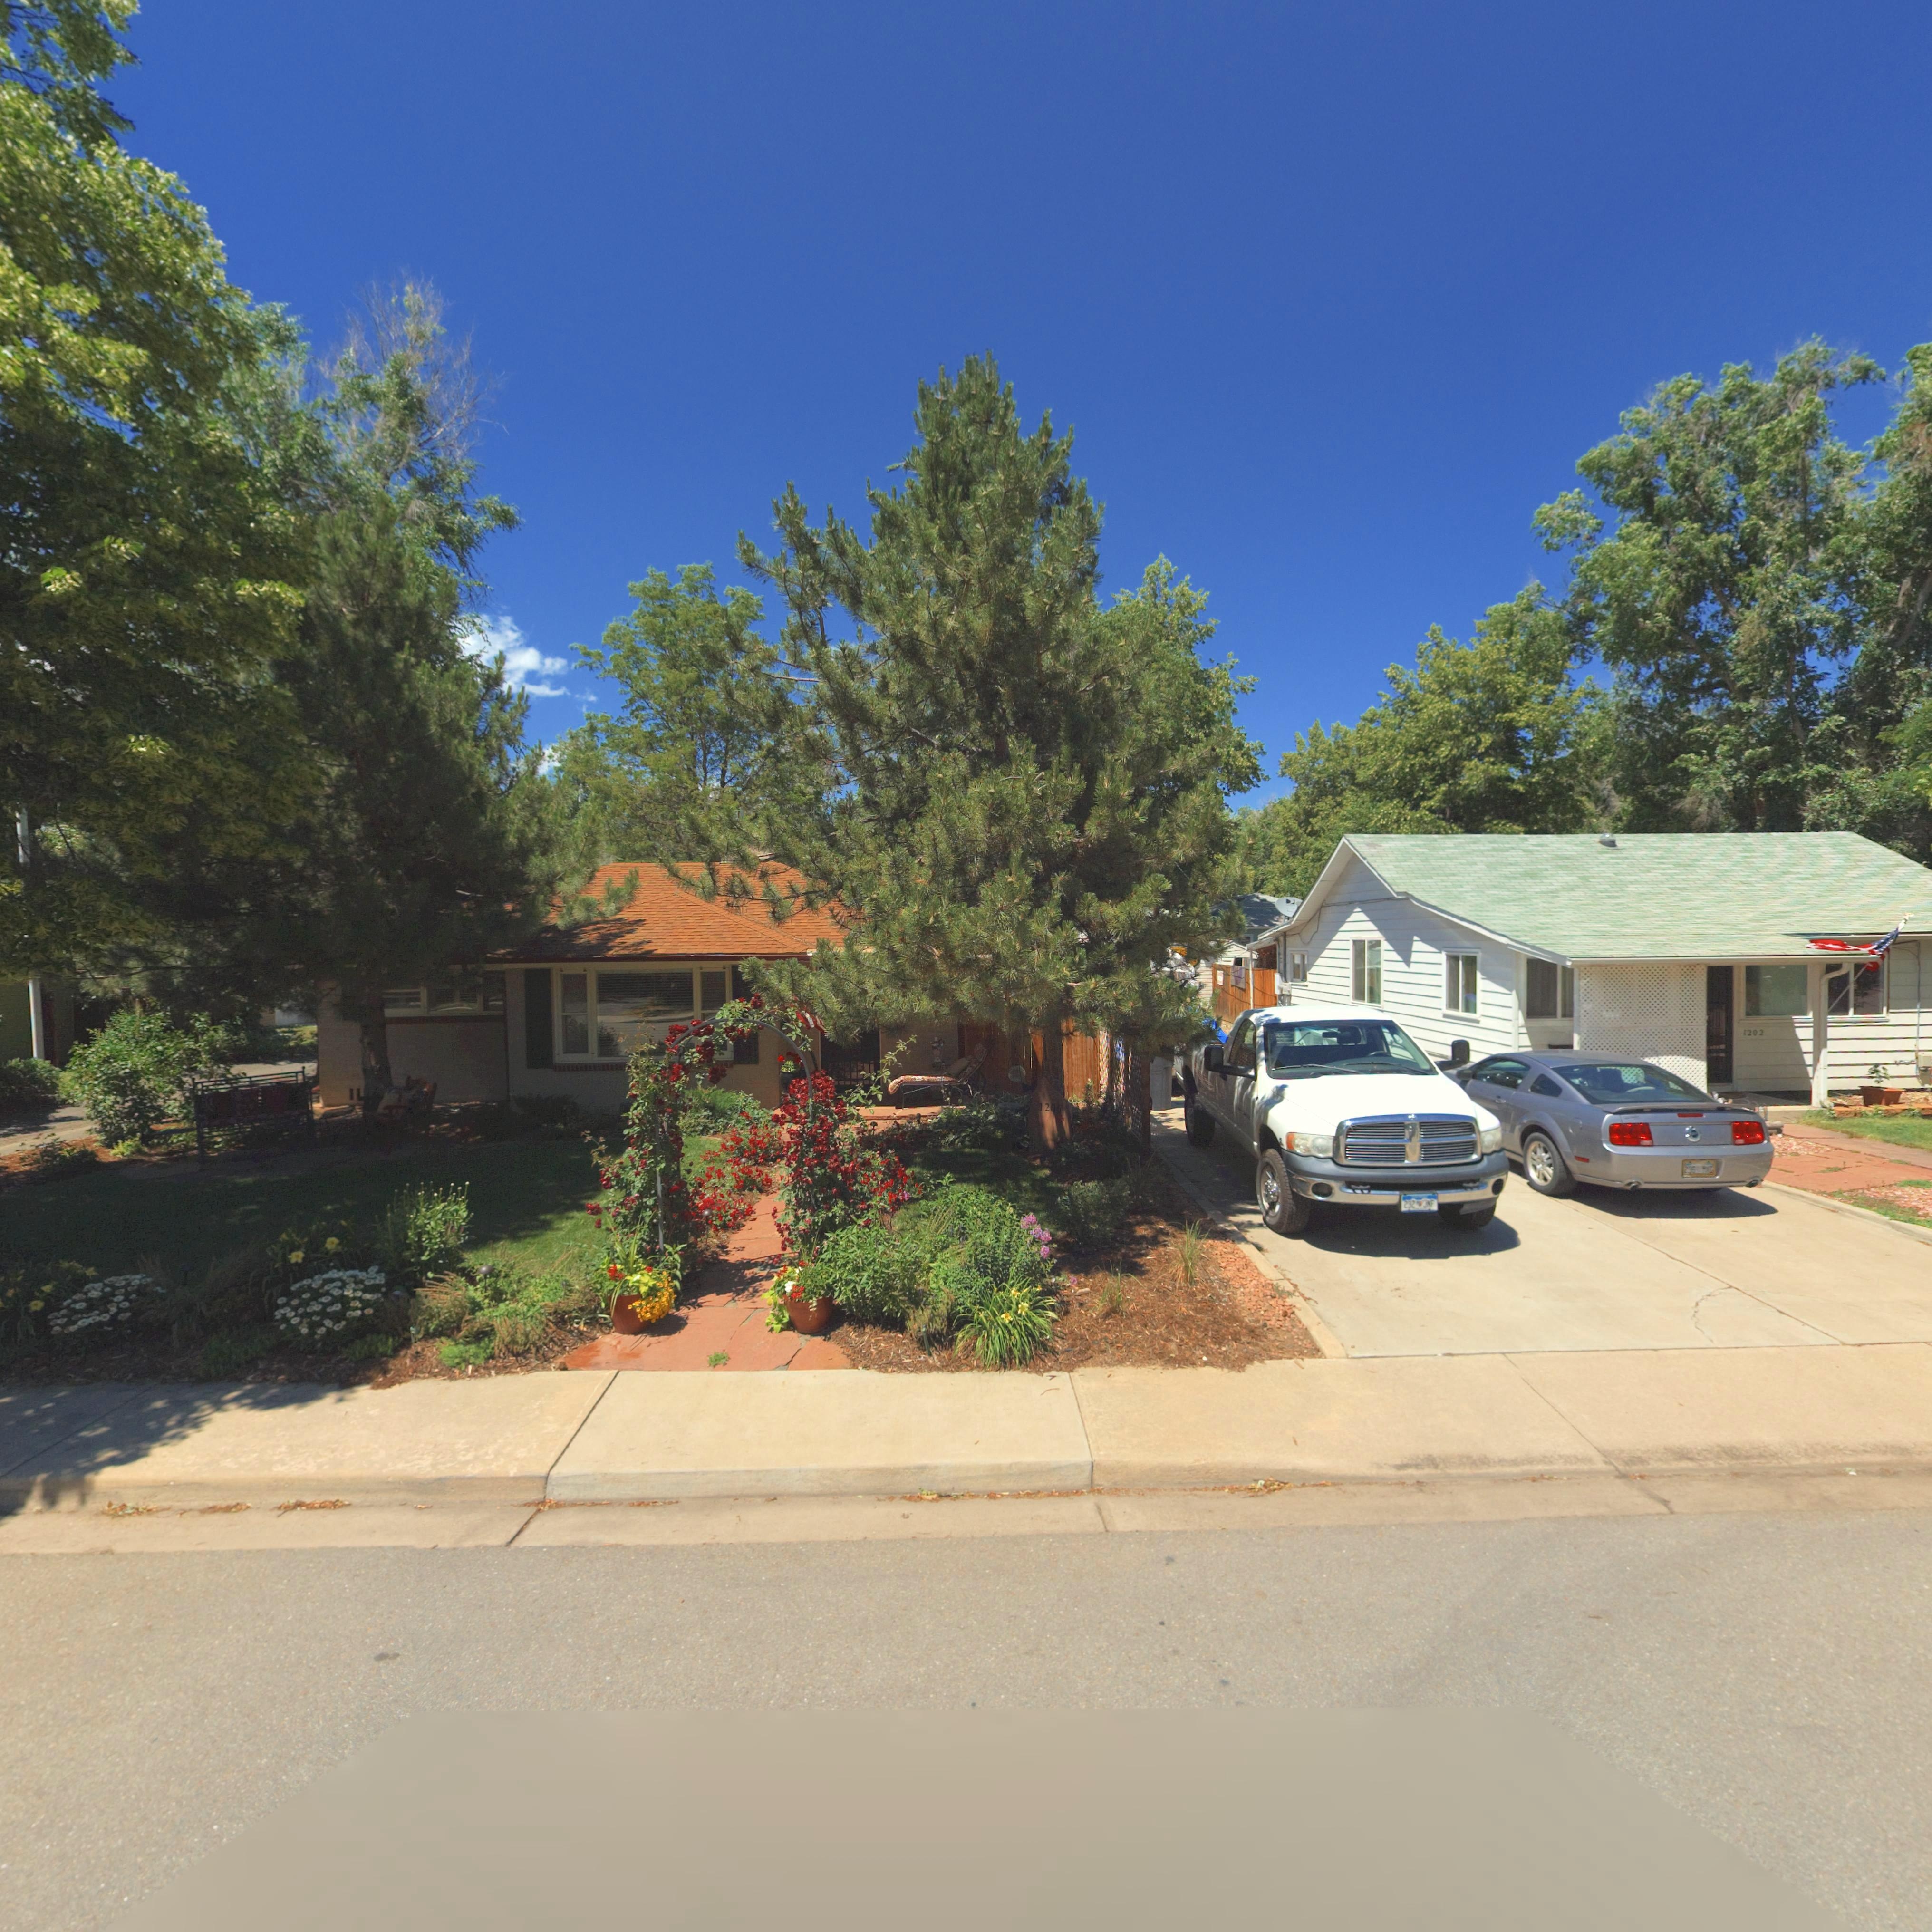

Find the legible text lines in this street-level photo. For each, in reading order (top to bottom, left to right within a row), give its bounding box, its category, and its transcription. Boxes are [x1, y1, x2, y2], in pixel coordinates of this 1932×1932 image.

[1742, 1029, 1764, 1036] StreetNumber: 1202